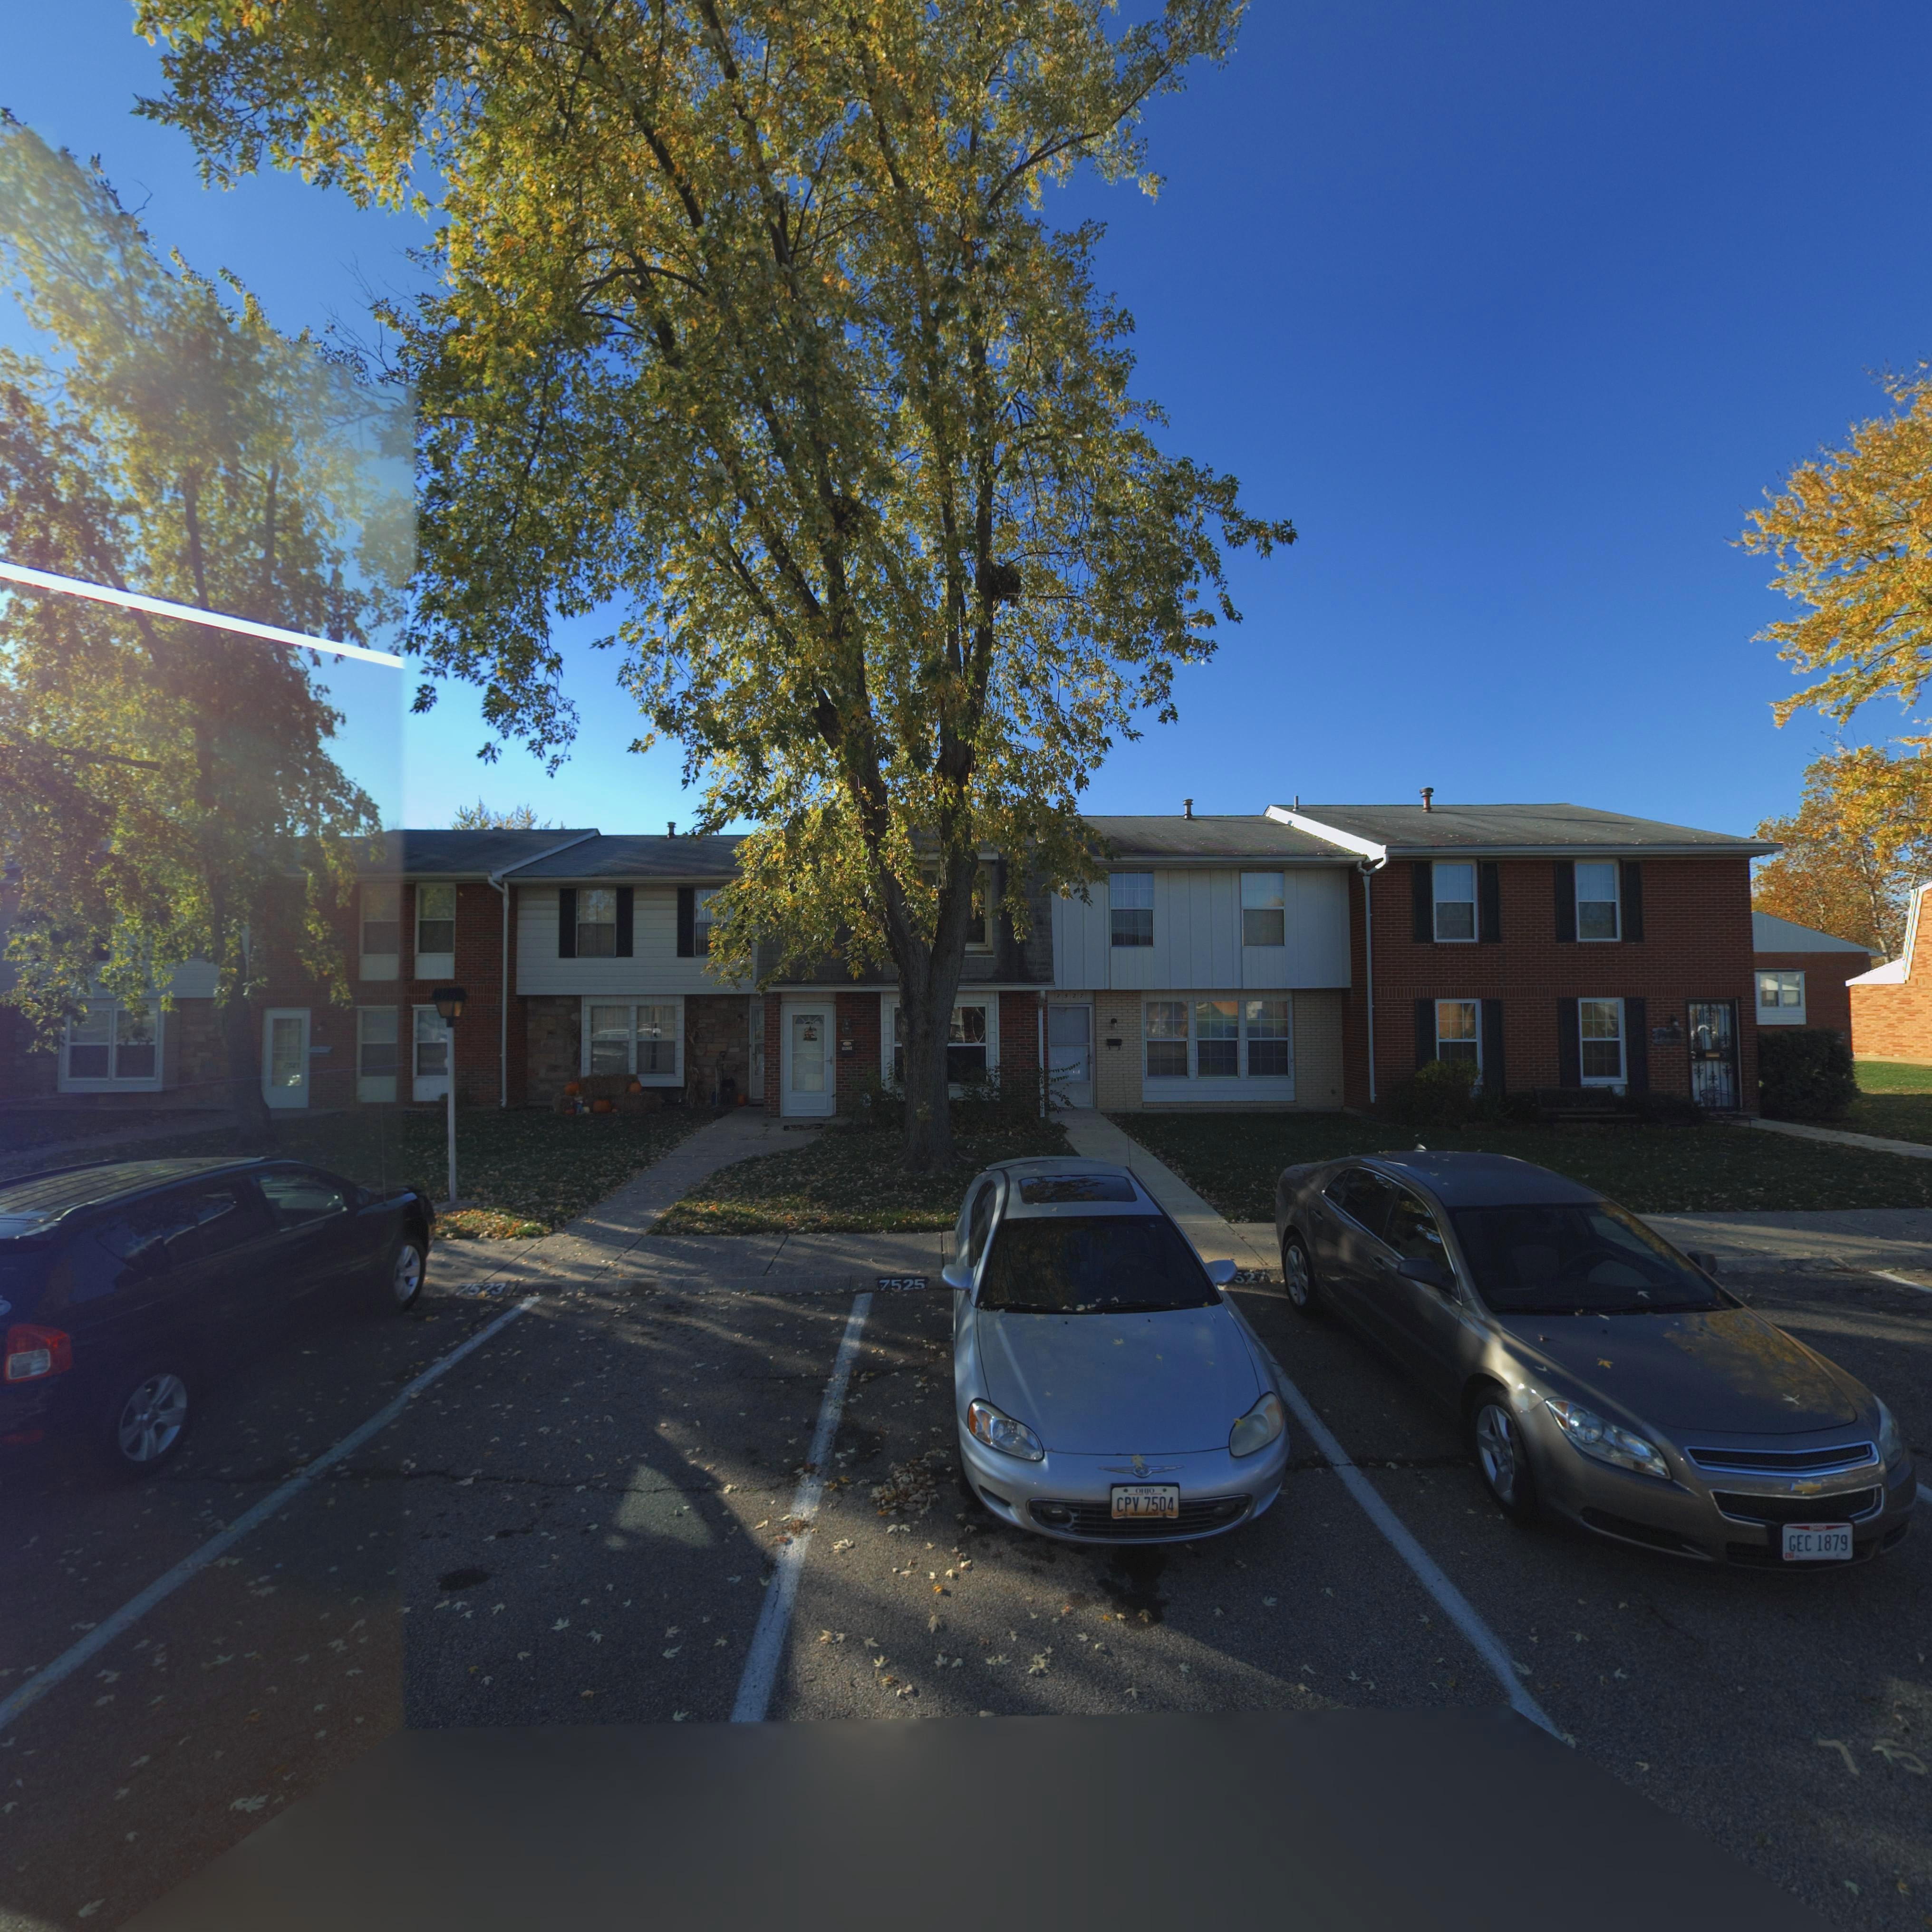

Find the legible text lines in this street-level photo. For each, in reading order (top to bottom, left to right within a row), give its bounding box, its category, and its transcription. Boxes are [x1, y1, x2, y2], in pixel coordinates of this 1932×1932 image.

[1056, 993, 1085, 998] StreetNumber: 7527
[1655, 1032, 1668, 1040] StreetNumber: 75
[282, 1062, 301, 1069] StreetNumber: 7521
[453, 1282, 507, 1296] StreetNumber: 7523
[879, 1278, 926, 1292] StreetNumber: 7525
[1244, 1271, 1266, 1285] StreetNumber: 27